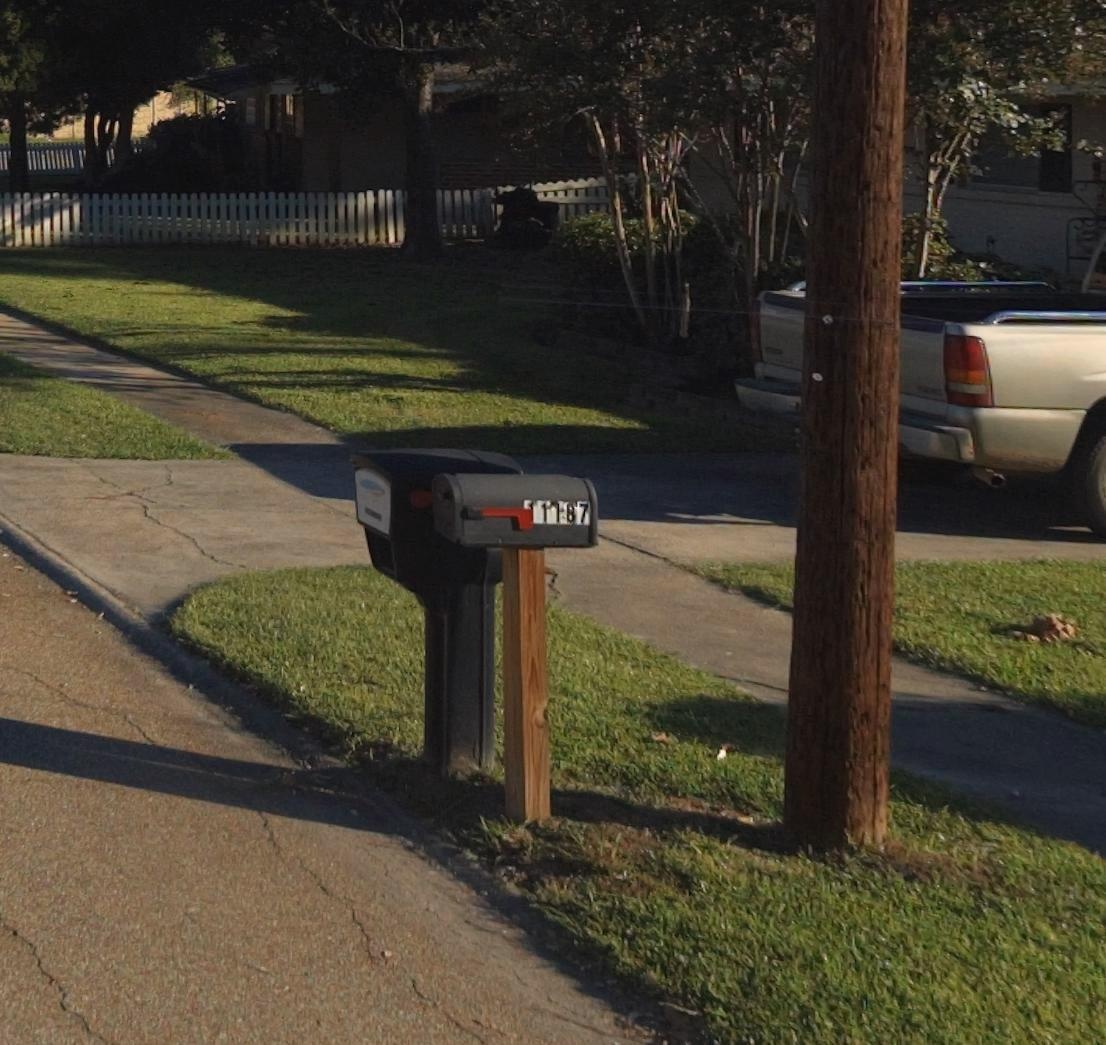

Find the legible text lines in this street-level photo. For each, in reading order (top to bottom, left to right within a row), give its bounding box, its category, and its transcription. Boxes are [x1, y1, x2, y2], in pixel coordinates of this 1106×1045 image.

[526, 500, 591, 526] StreetNumber: 11187